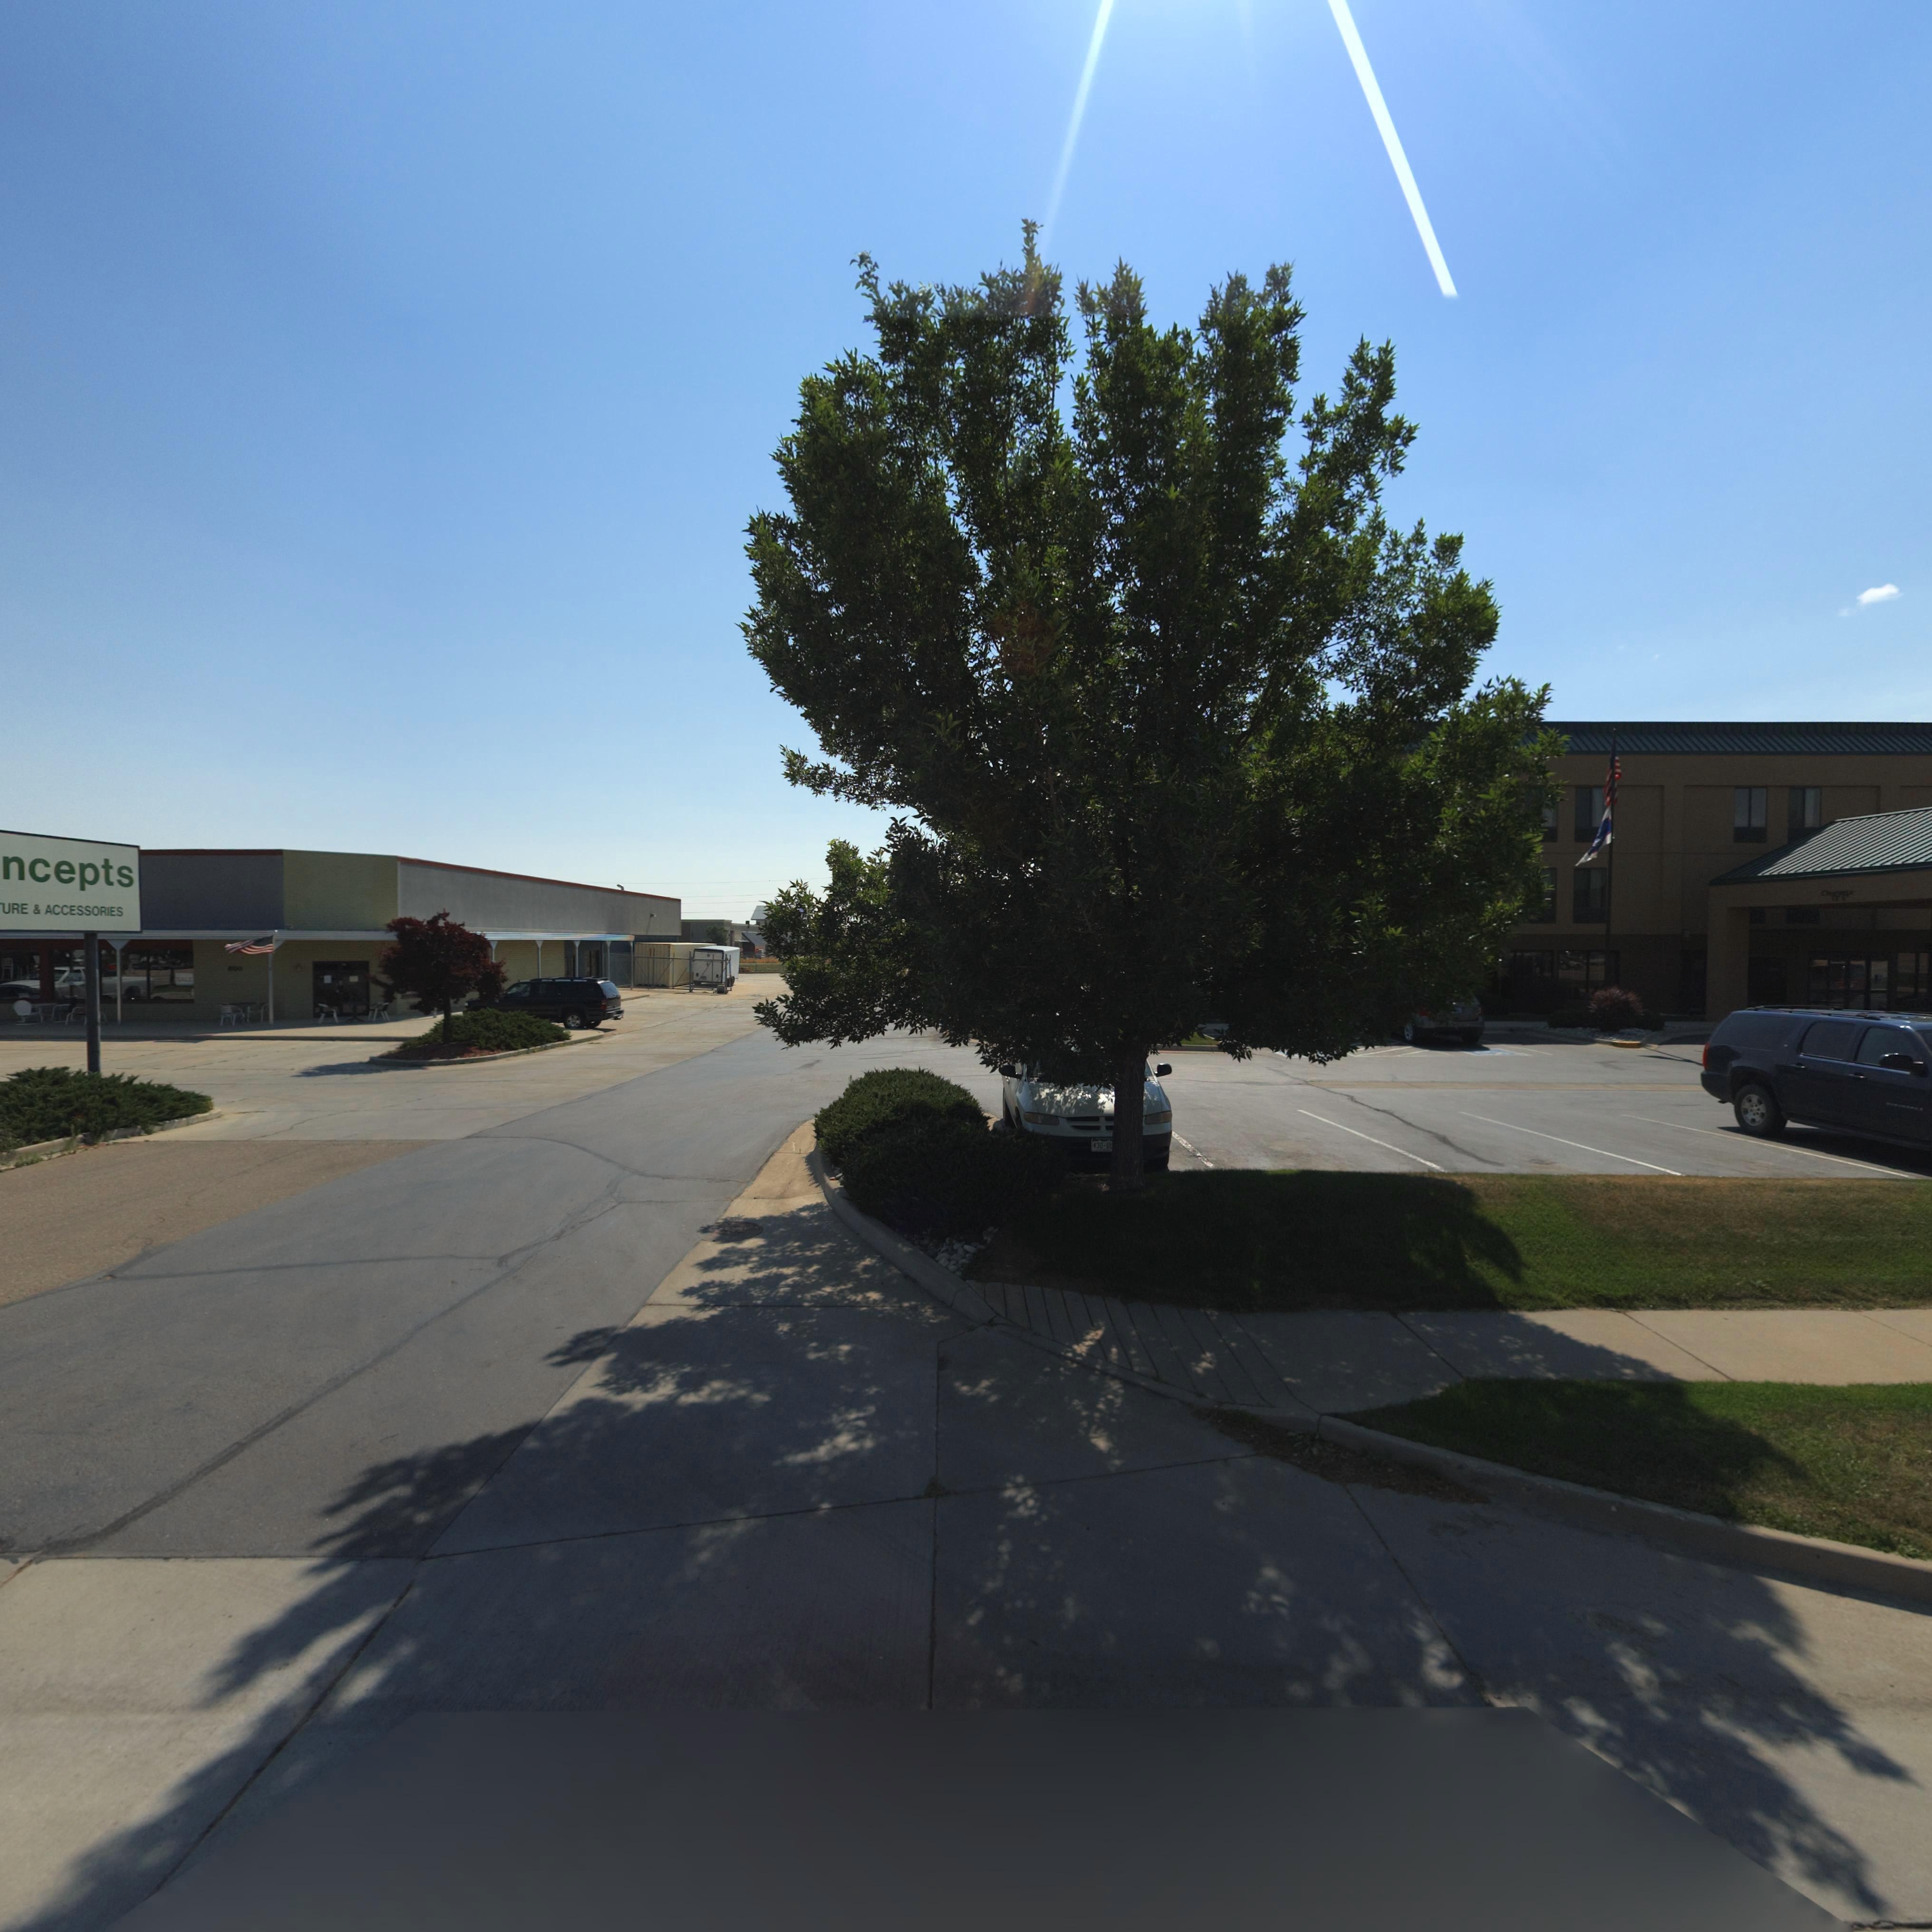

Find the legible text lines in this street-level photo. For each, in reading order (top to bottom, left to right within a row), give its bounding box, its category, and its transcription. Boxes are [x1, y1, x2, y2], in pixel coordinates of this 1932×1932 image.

[1, 855, 134, 891] BusinessName: ncepts
[1, 902, 124, 917] BusinessName: URE * ACCESSORIES